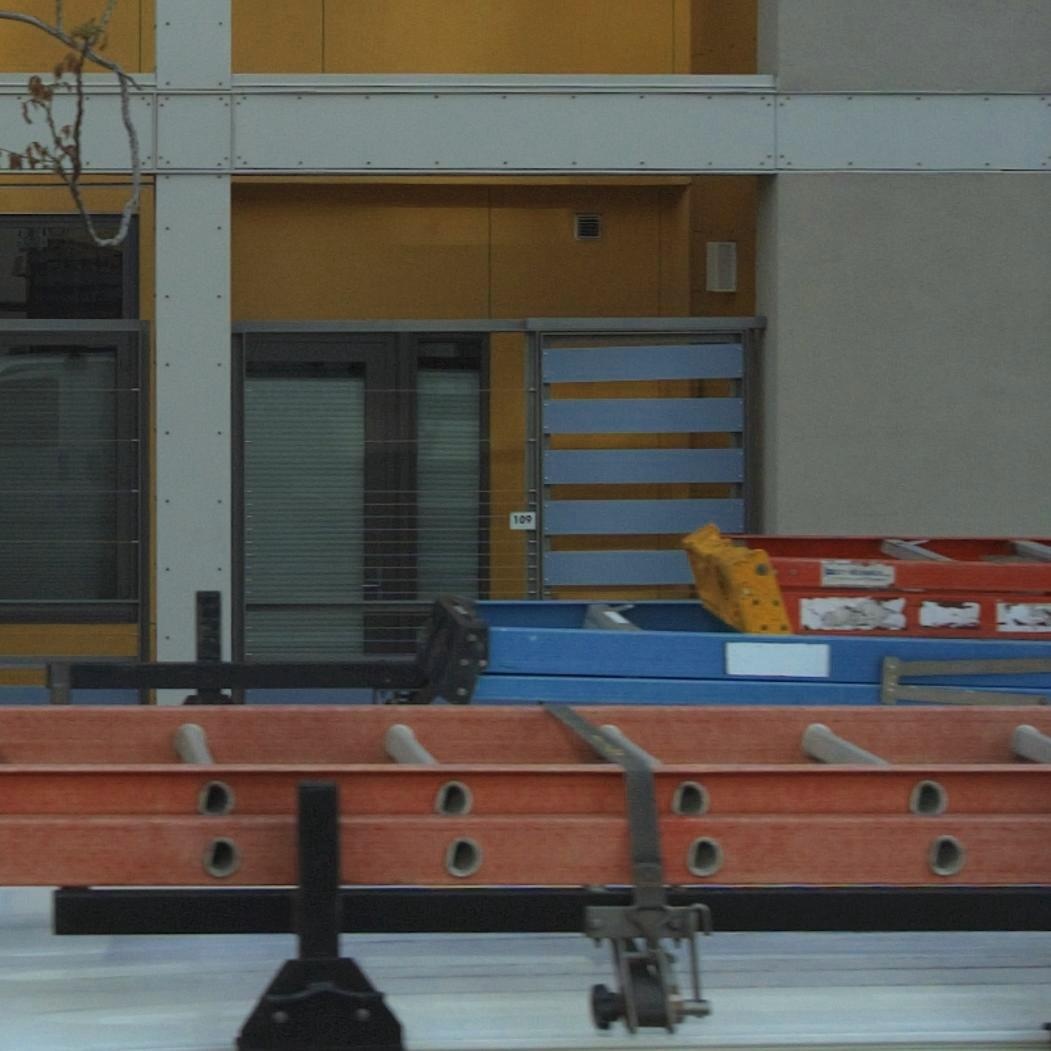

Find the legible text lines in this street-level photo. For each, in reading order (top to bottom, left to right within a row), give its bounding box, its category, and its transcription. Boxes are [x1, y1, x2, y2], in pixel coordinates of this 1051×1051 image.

[510, 512, 534, 527] StreetNumber: 109